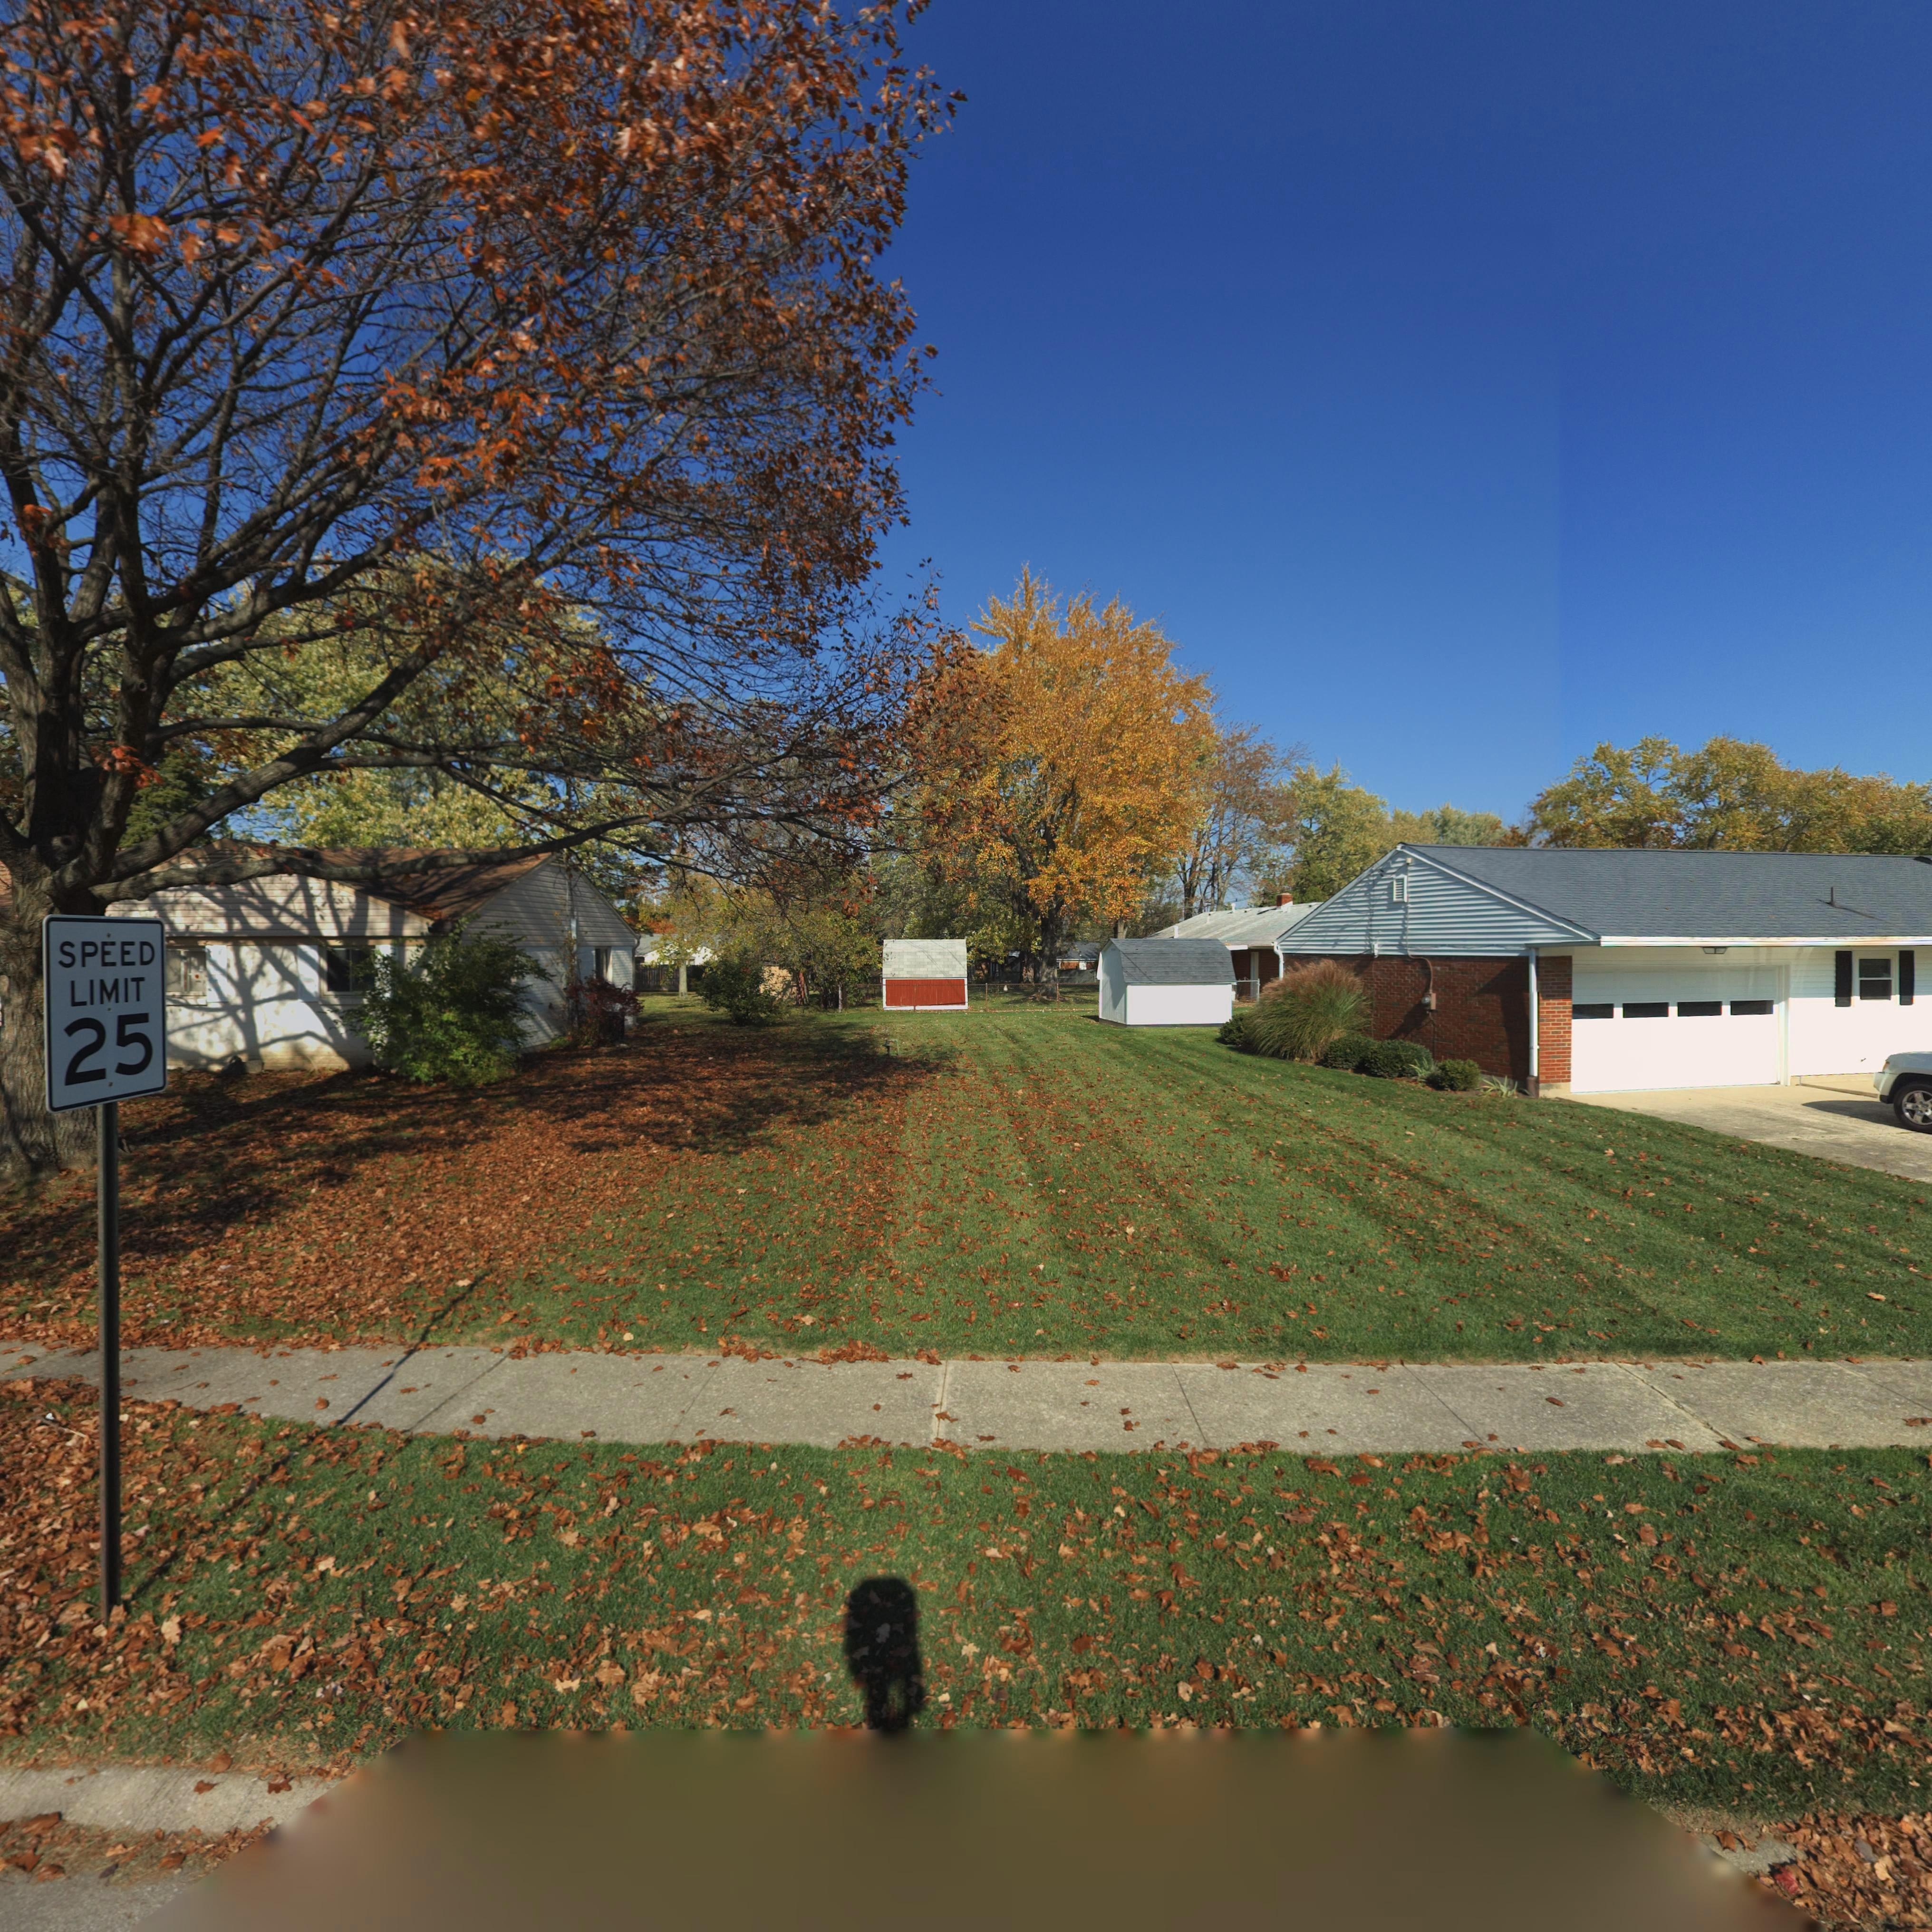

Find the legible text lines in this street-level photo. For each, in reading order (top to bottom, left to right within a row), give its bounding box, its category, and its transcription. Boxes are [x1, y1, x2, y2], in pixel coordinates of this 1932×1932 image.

[58, 940, 155, 968] None: SPEED
[70, 976, 147, 1008] None: LIMIT
[63, 1011, 155, 1087] None: 25